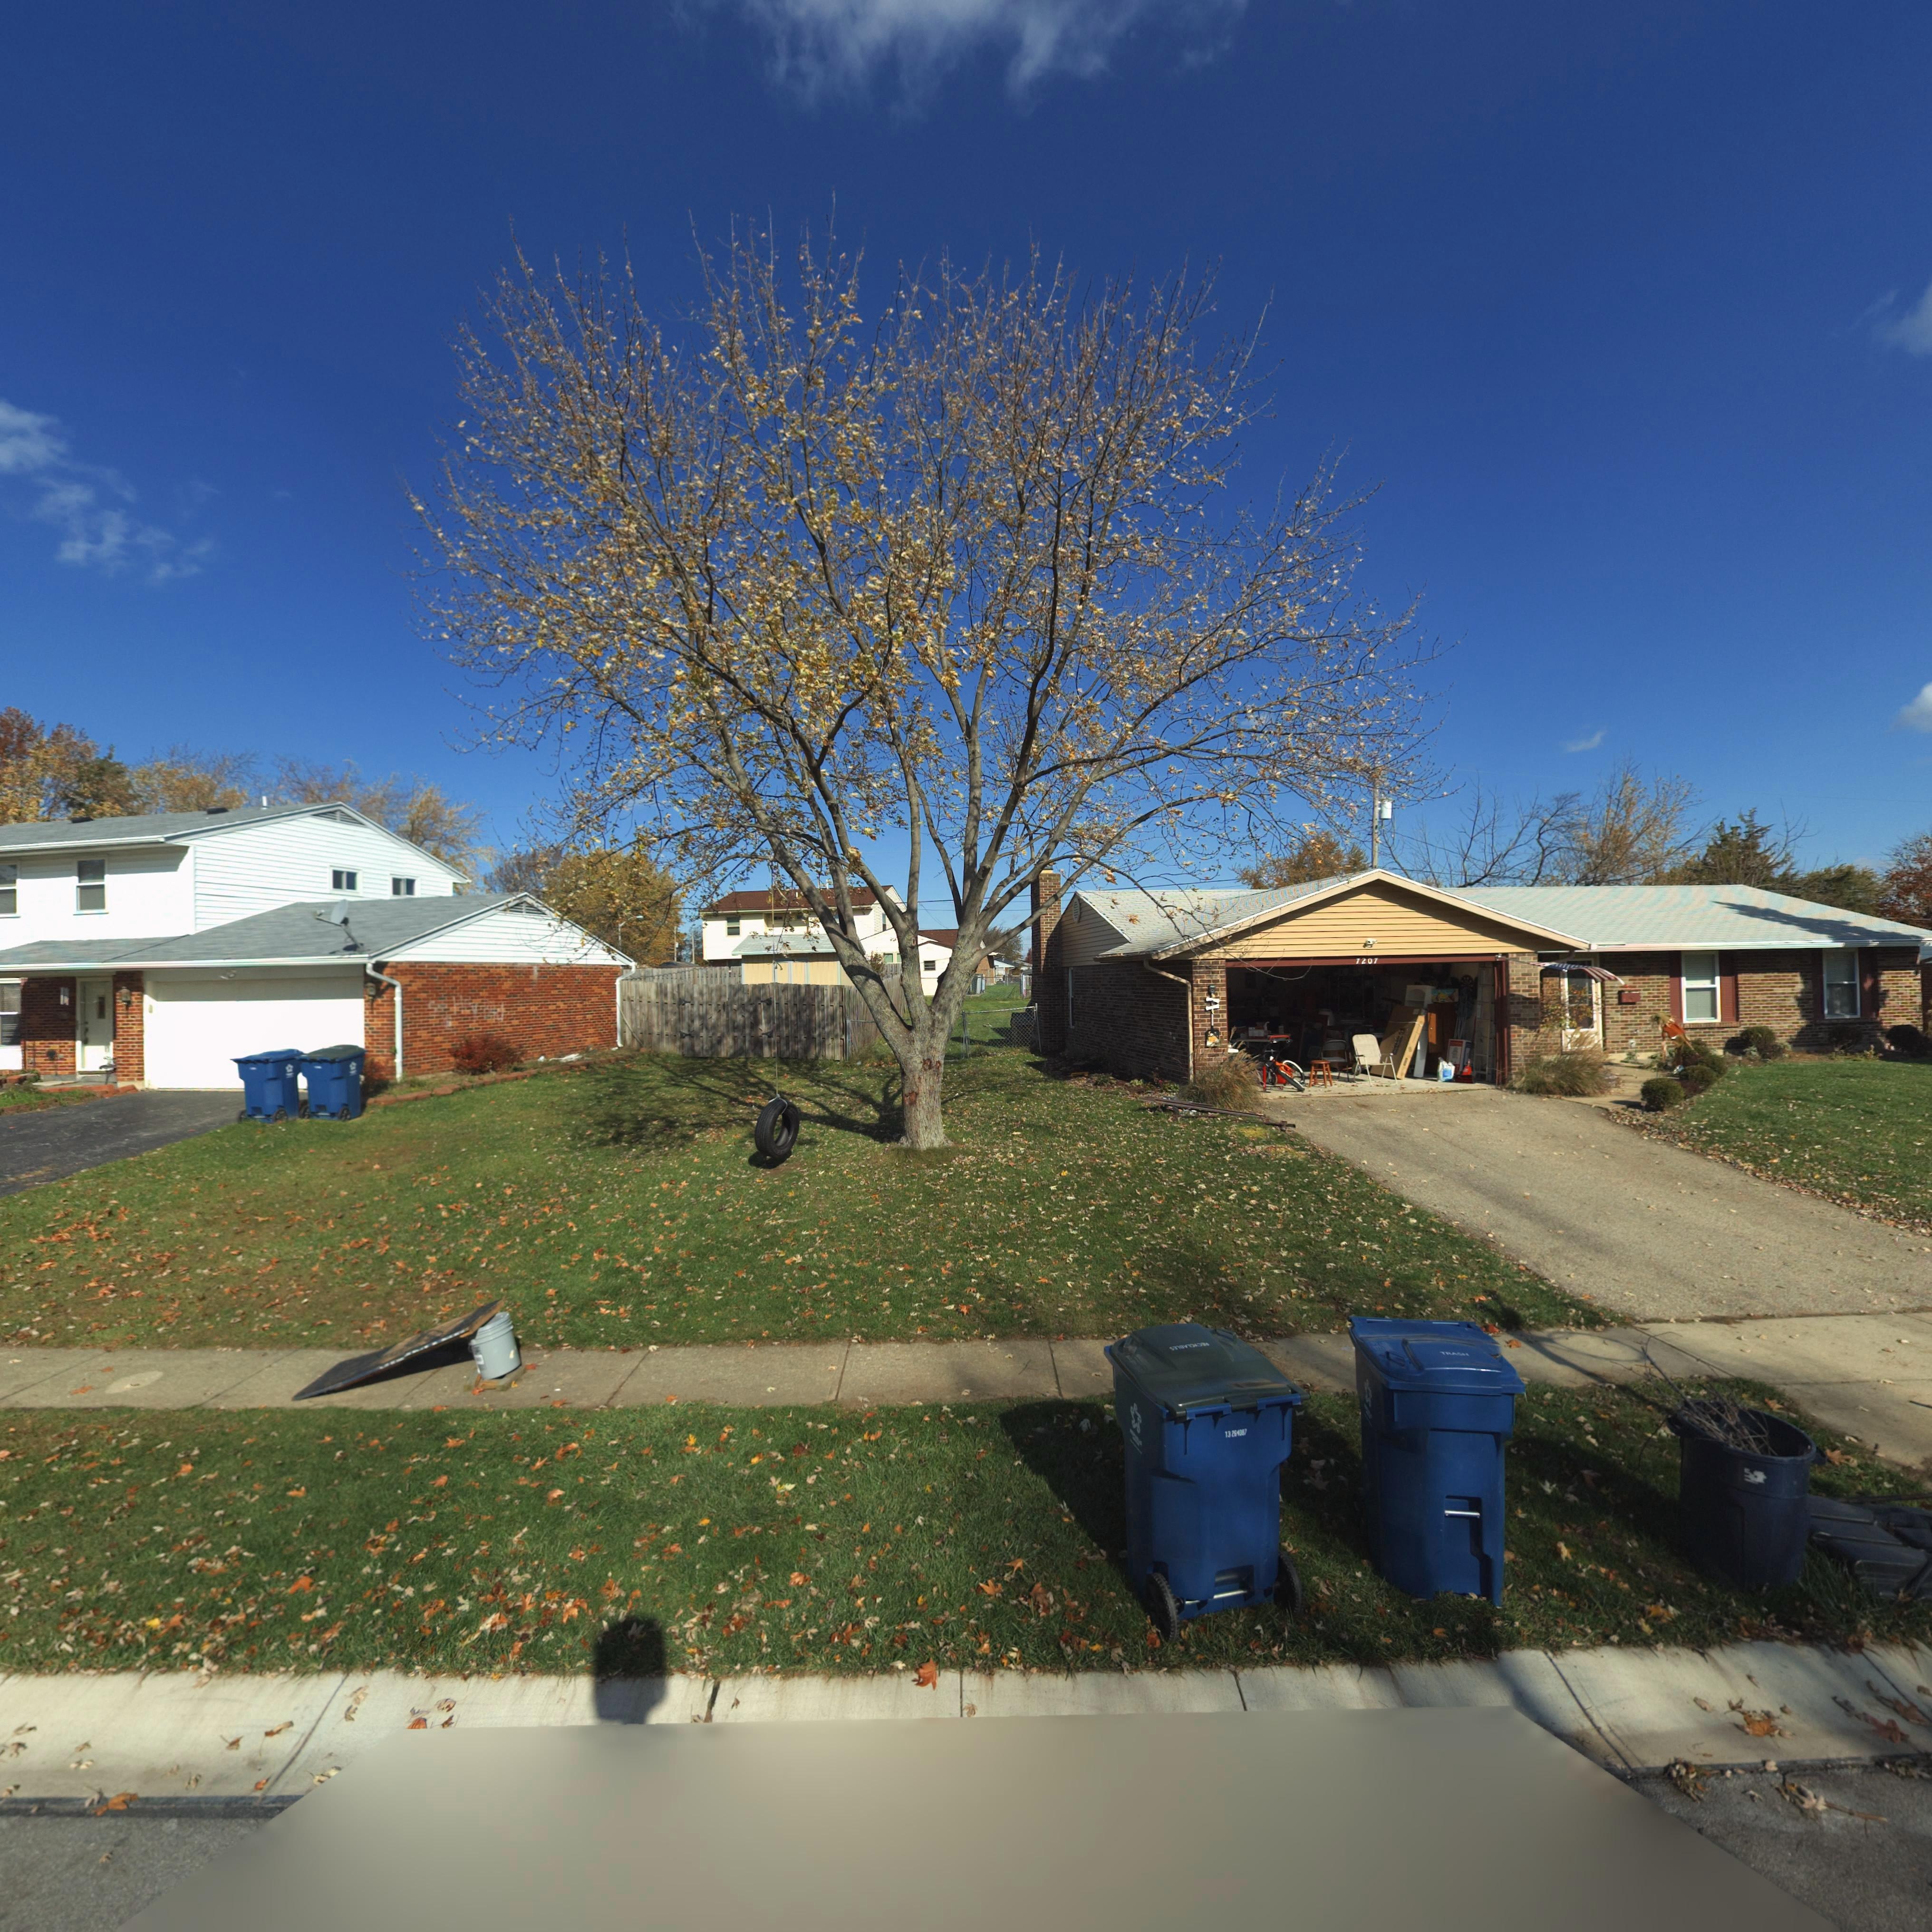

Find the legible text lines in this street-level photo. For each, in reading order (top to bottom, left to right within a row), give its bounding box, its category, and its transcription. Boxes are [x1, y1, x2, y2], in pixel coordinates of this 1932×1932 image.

[1354, 956, 1380, 965] StreetNumber: 7207